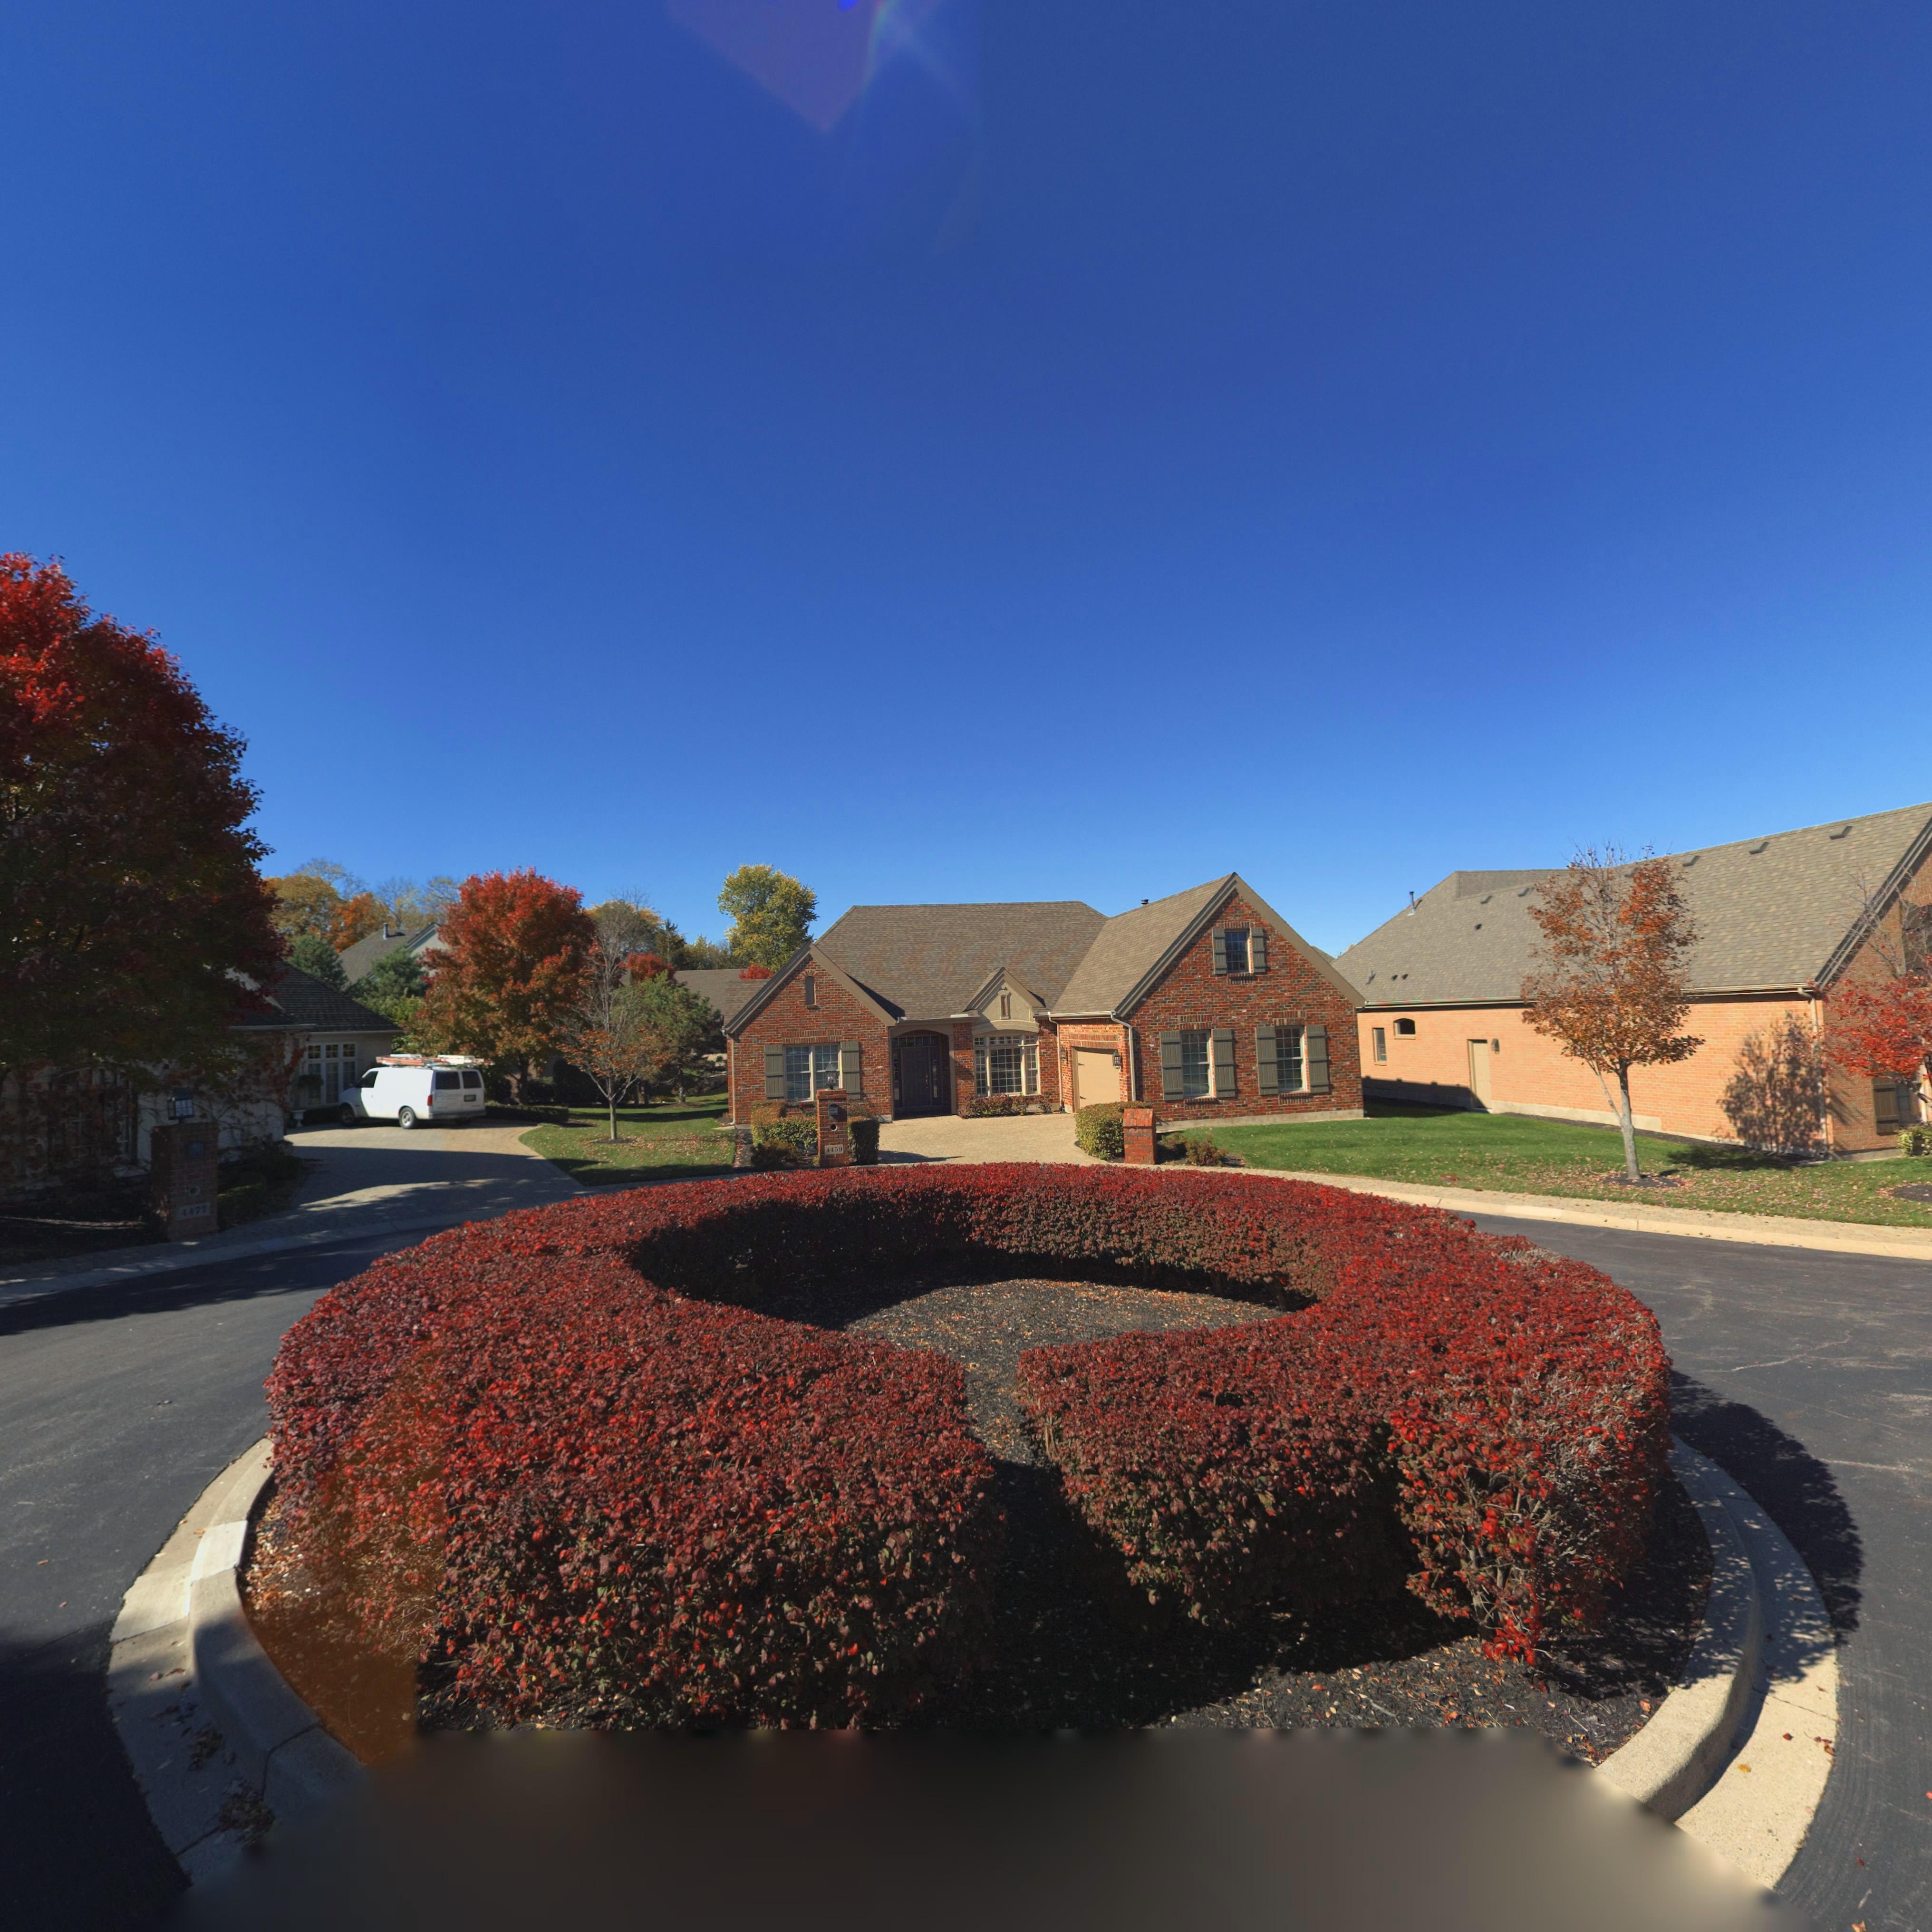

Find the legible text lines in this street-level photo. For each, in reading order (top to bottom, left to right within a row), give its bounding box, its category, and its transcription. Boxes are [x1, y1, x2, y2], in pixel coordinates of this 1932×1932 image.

[825, 1145, 843, 1153] StreetNumber: 4459
[180, 1204, 208, 1217] StreetNumber: 4477